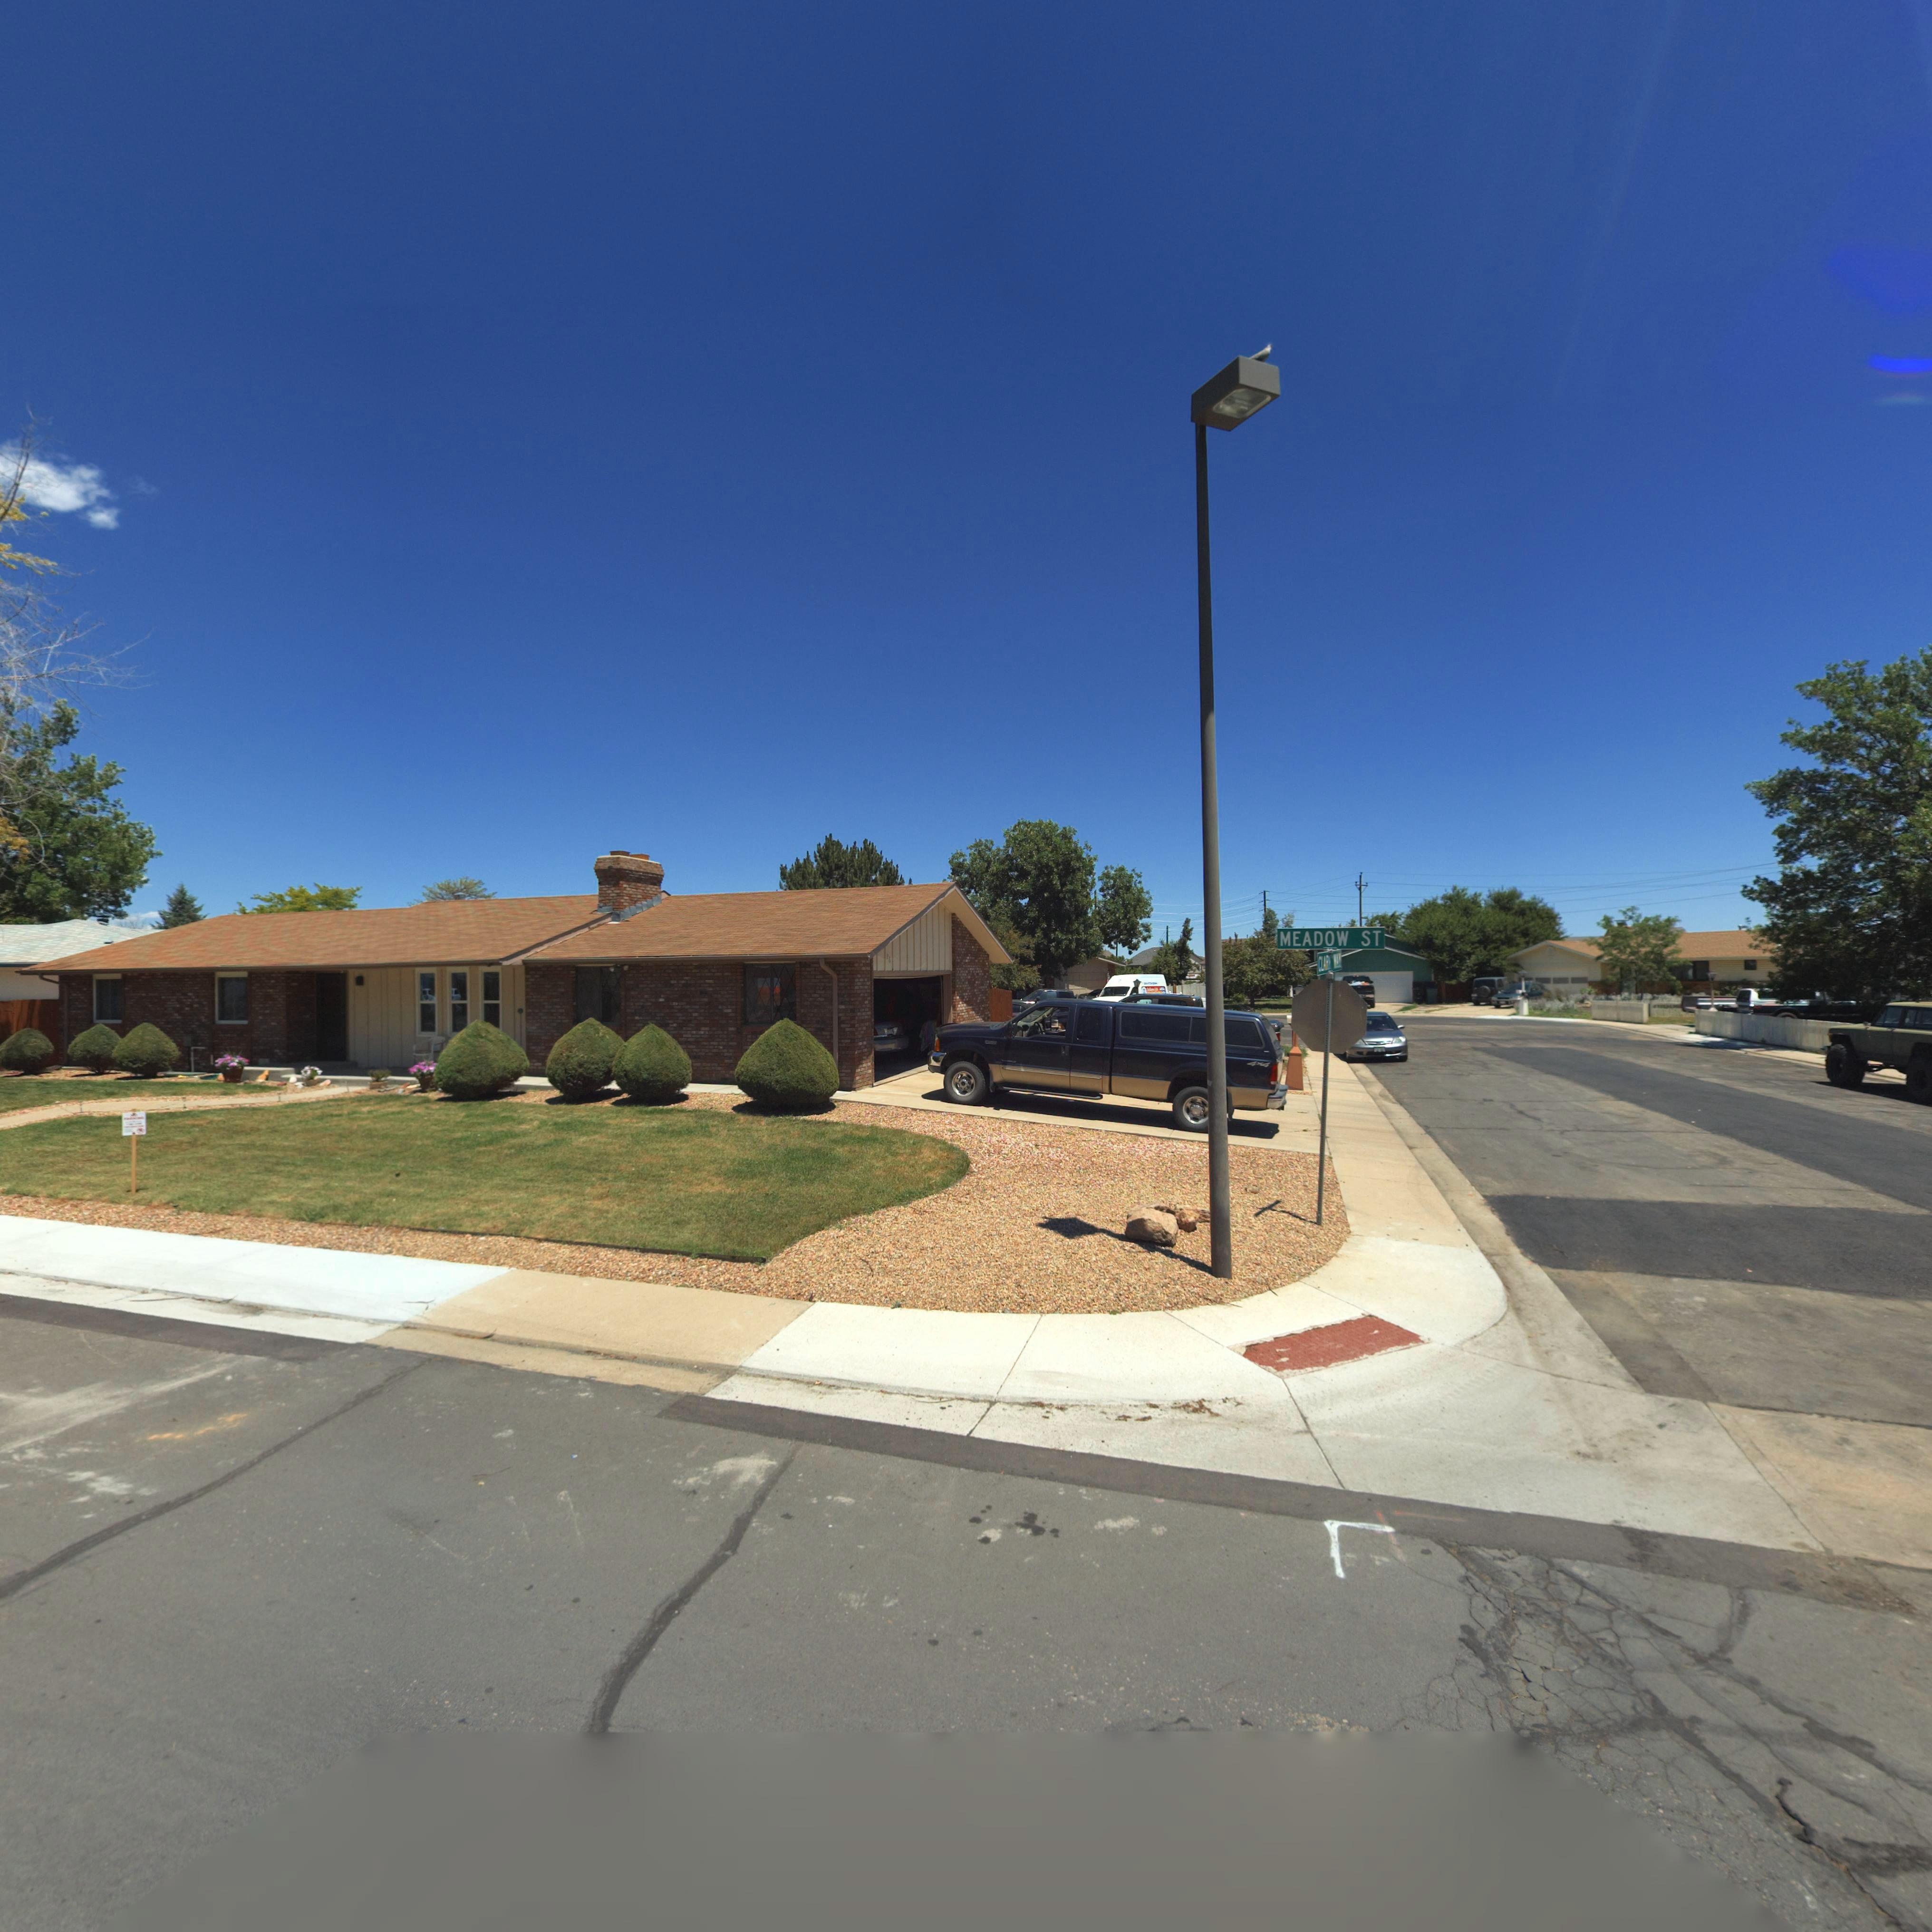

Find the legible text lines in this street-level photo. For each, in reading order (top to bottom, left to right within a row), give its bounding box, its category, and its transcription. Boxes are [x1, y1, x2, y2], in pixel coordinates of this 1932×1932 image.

[1279, 929, 1382, 947] StreetName: MEADOW ST
[886, 953, 891, 963] StreetNumber: *6
[1318, 952, 1342, 972] StreetName: CLARK WAY